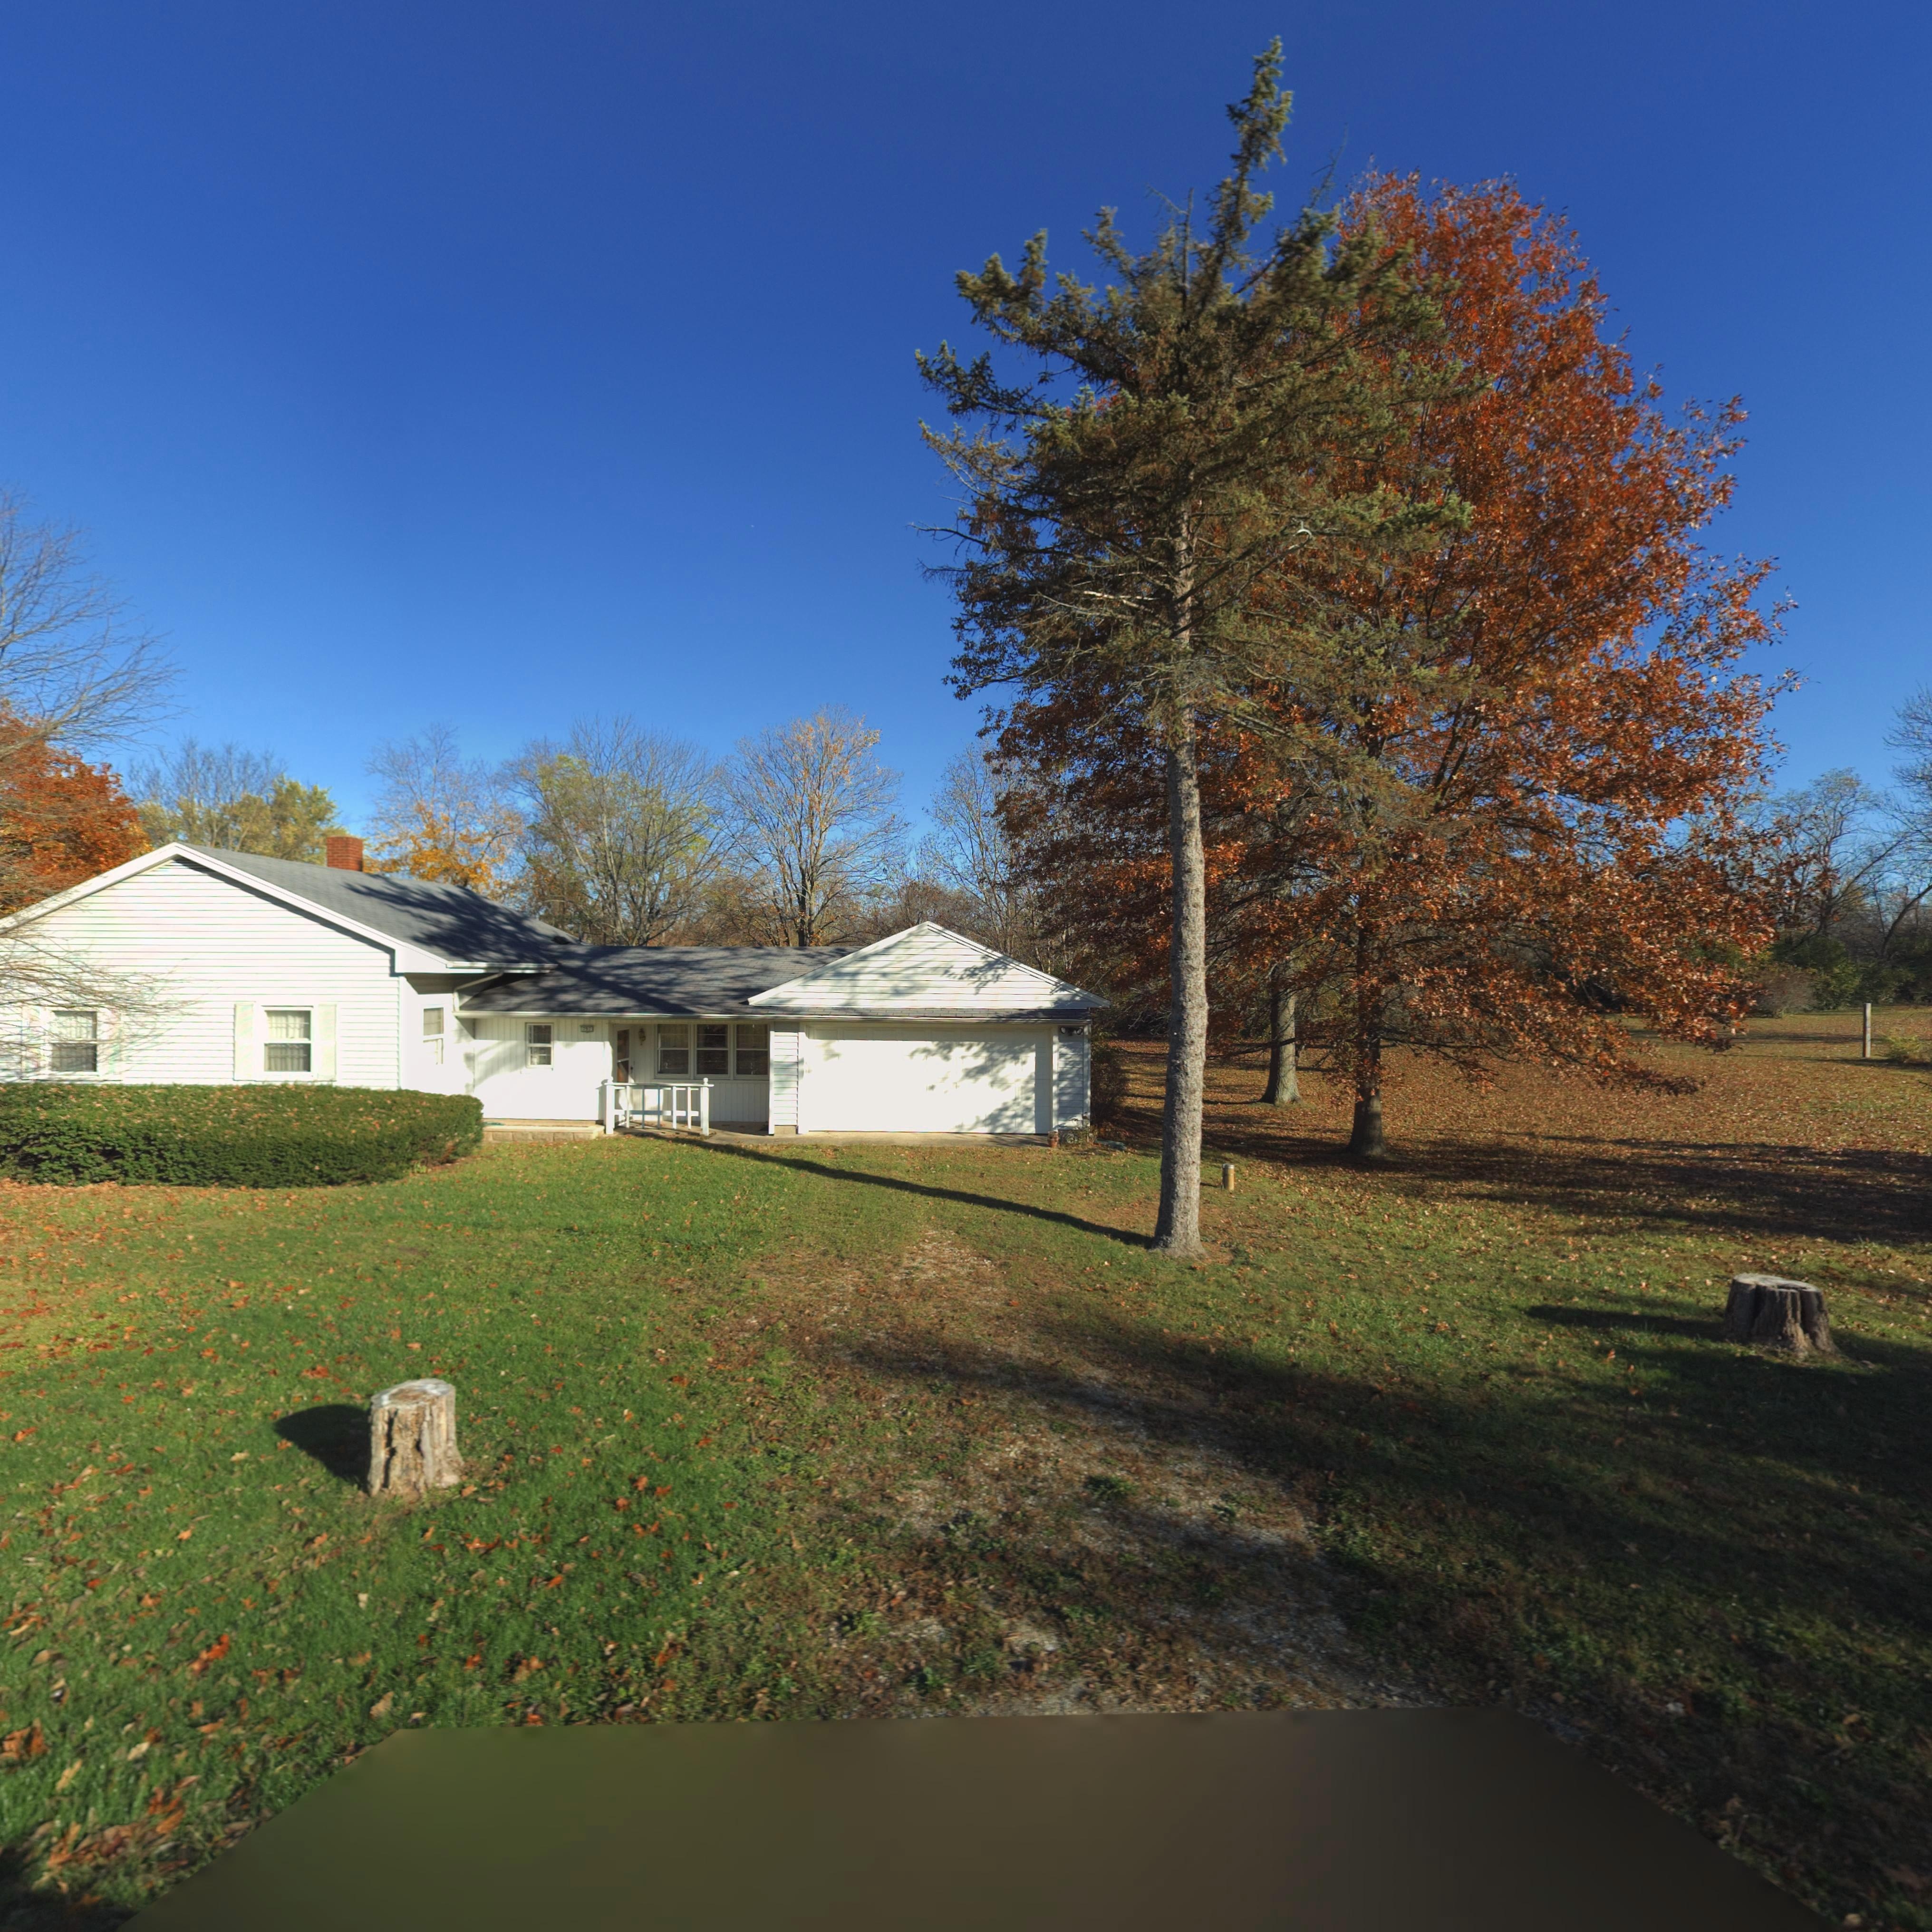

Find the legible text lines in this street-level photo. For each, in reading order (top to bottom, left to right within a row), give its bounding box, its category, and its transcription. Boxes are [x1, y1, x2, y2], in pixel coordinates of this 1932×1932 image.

[582, 1026, 592, 1031] StreetNumber: 797